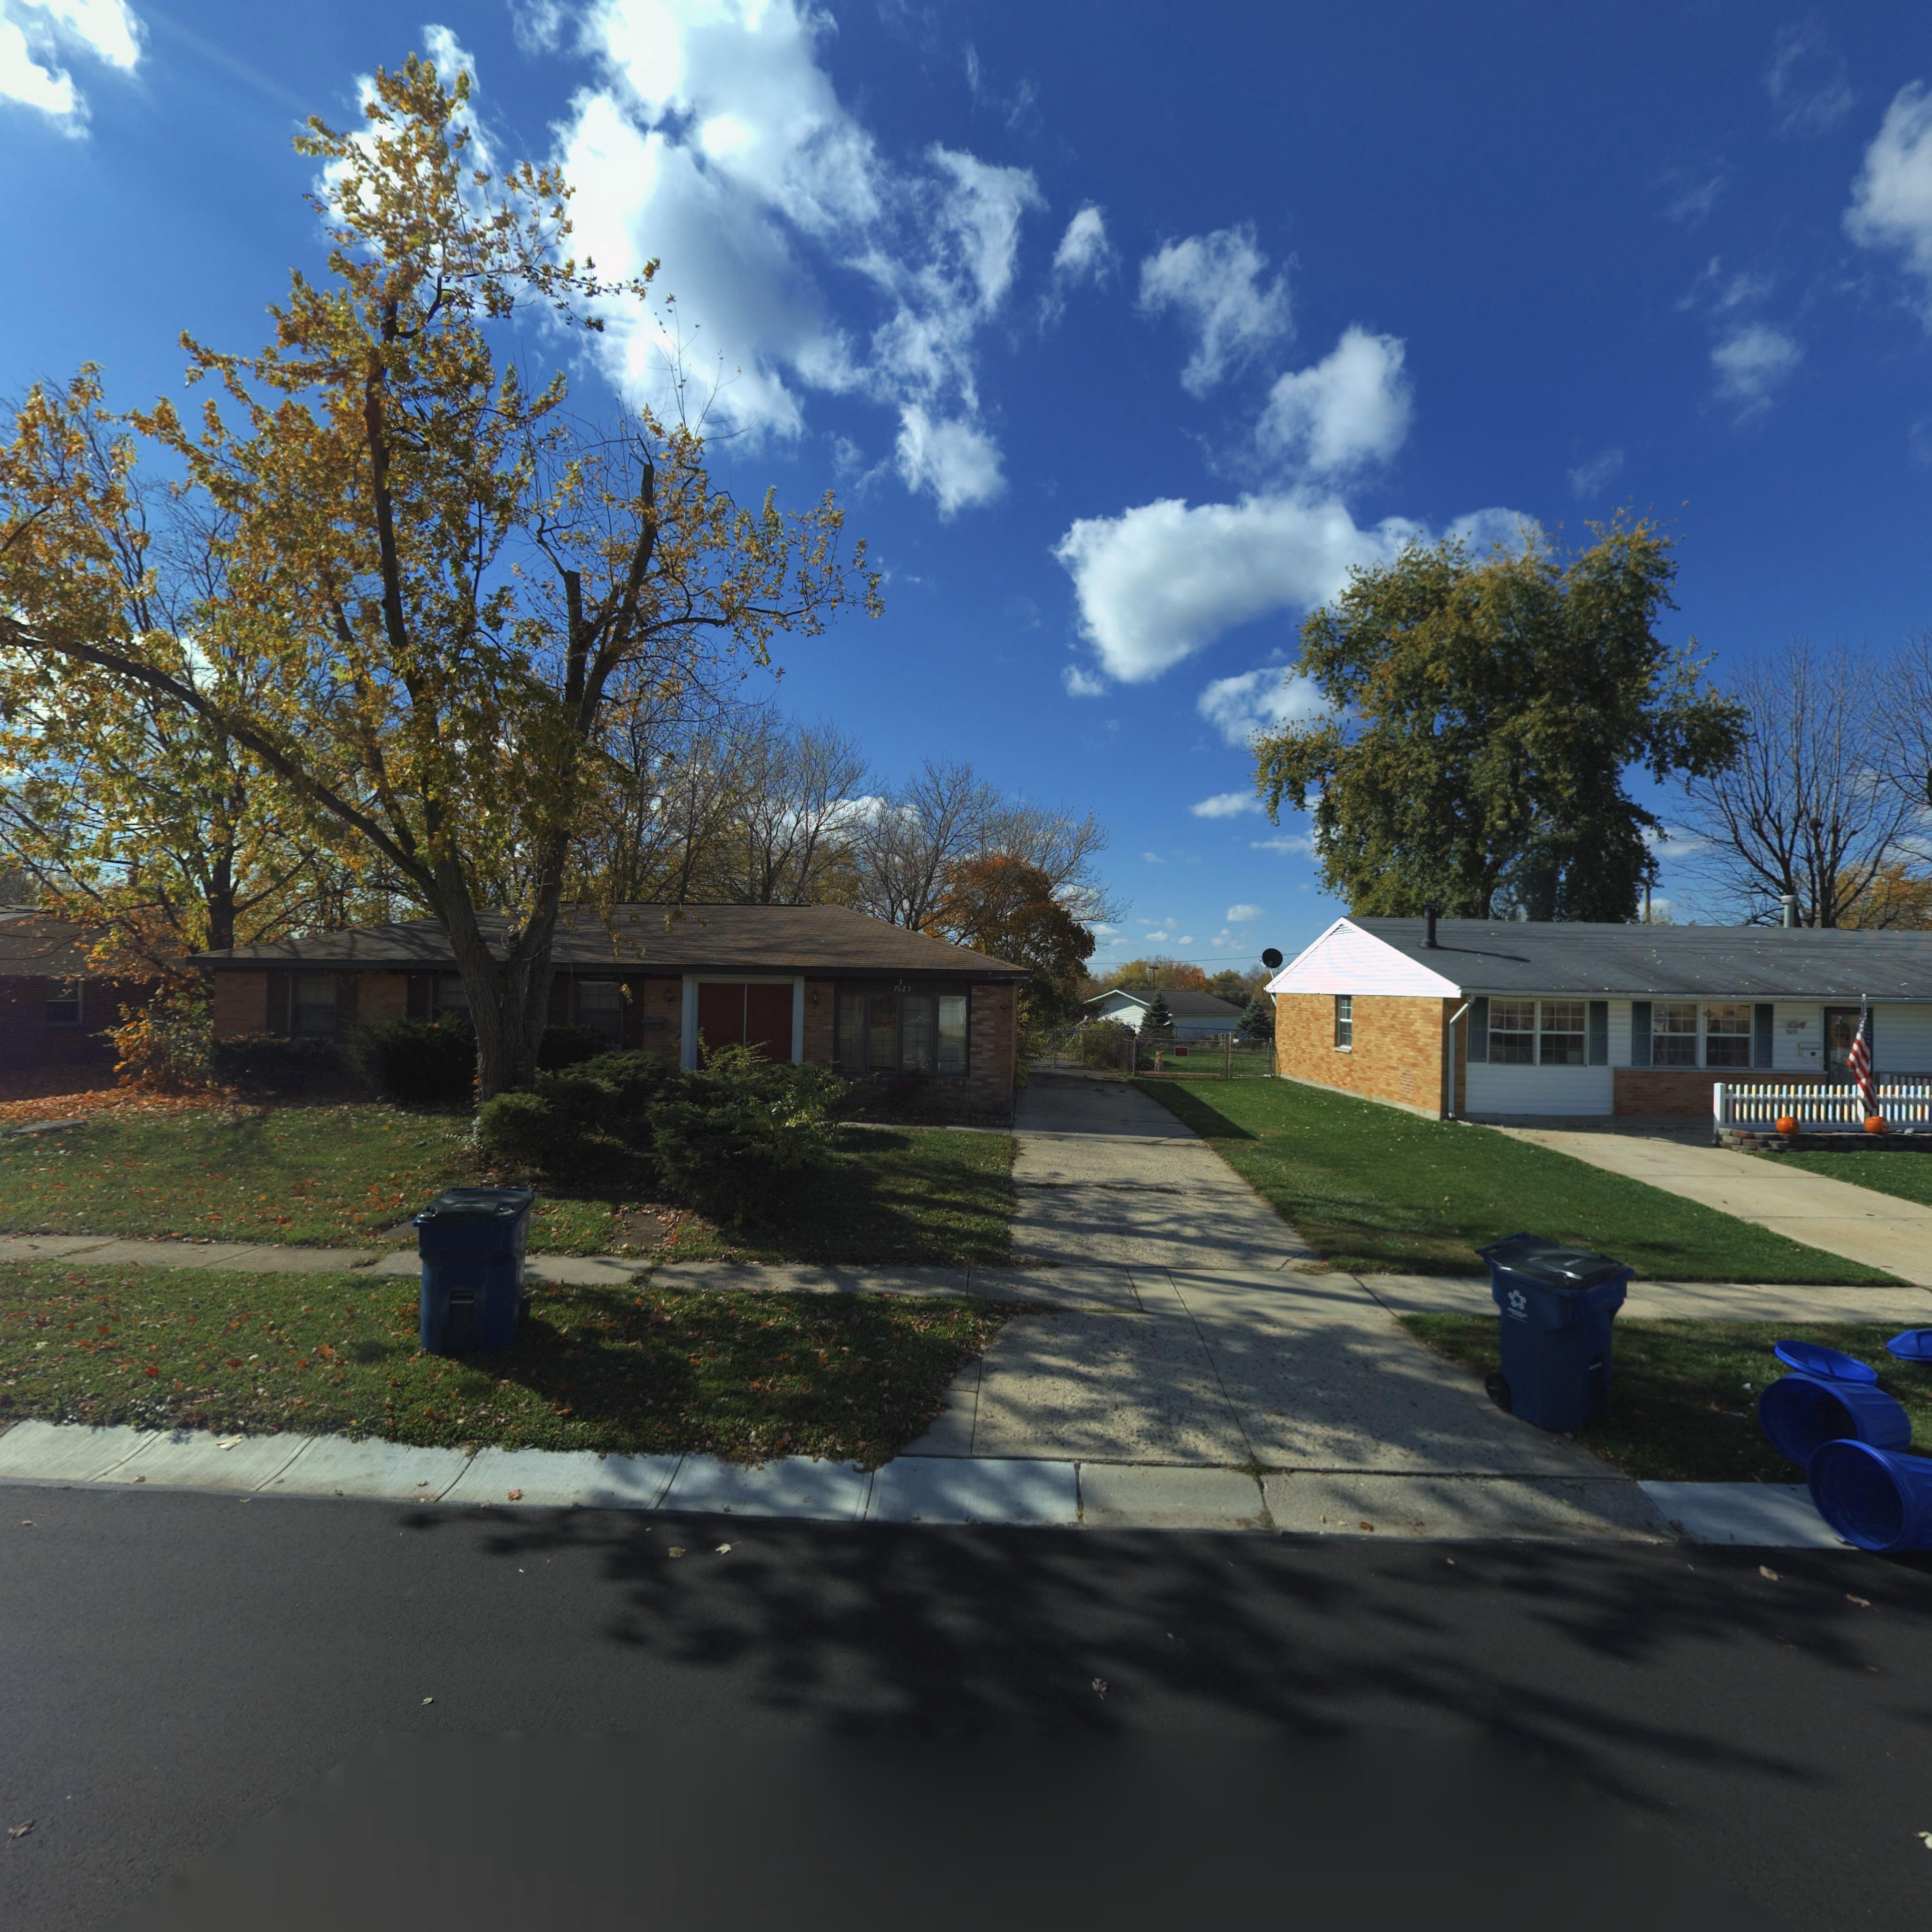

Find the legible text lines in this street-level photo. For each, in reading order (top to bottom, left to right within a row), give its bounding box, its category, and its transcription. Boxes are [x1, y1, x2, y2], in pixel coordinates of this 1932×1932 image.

[893, 985, 911, 993] StreetNumber: 7625
[1785, 1029, 1799, 1035] StreetNumber: 7631